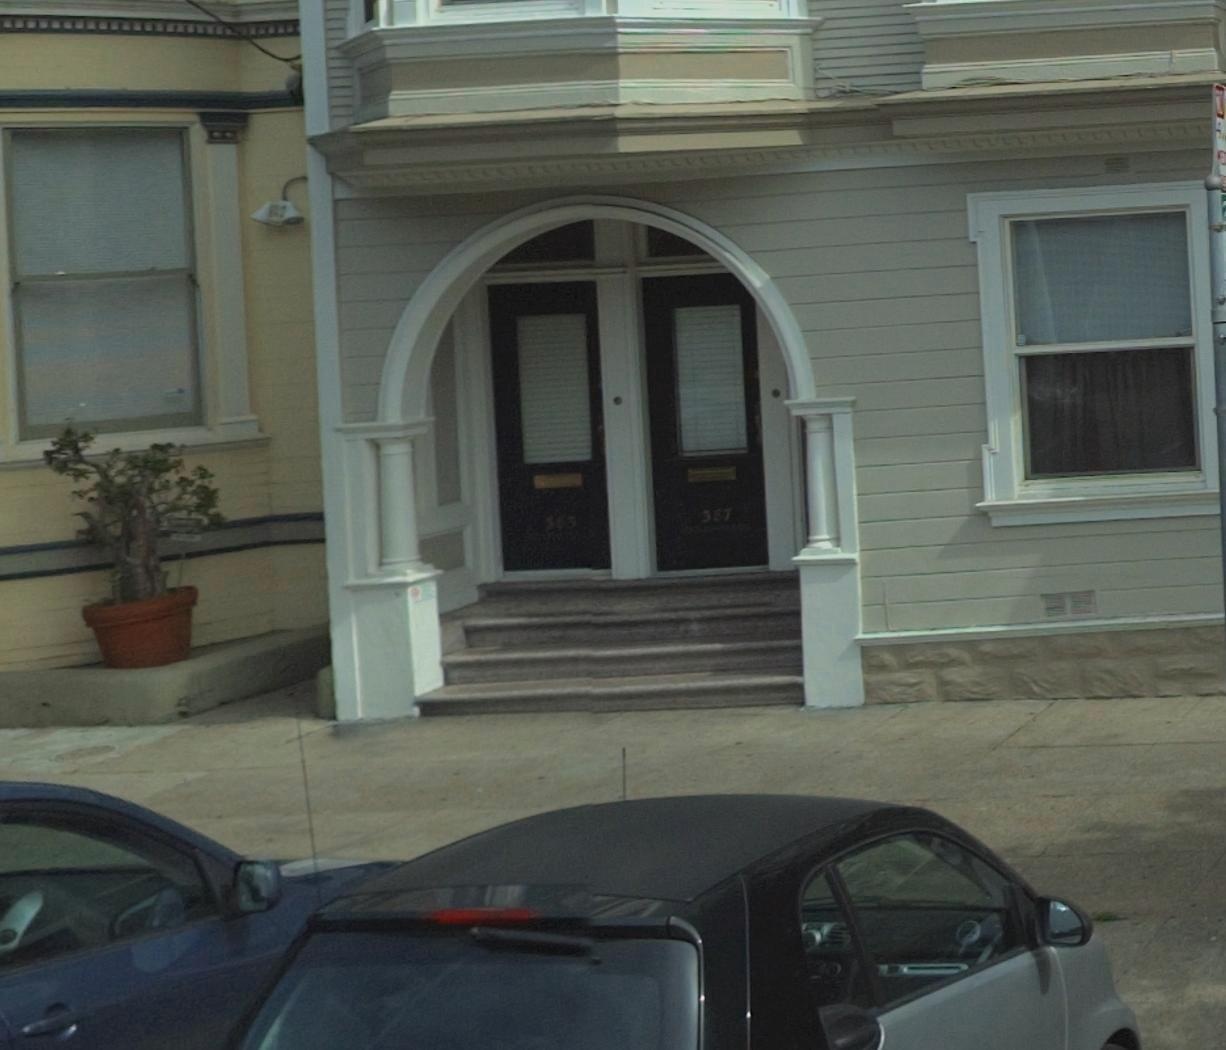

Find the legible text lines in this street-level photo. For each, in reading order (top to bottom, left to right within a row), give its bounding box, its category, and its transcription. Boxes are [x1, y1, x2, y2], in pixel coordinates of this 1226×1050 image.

[542, 513, 578, 530] StreetNumber: 385
[700, 507, 734, 524] StreetNumber: 387